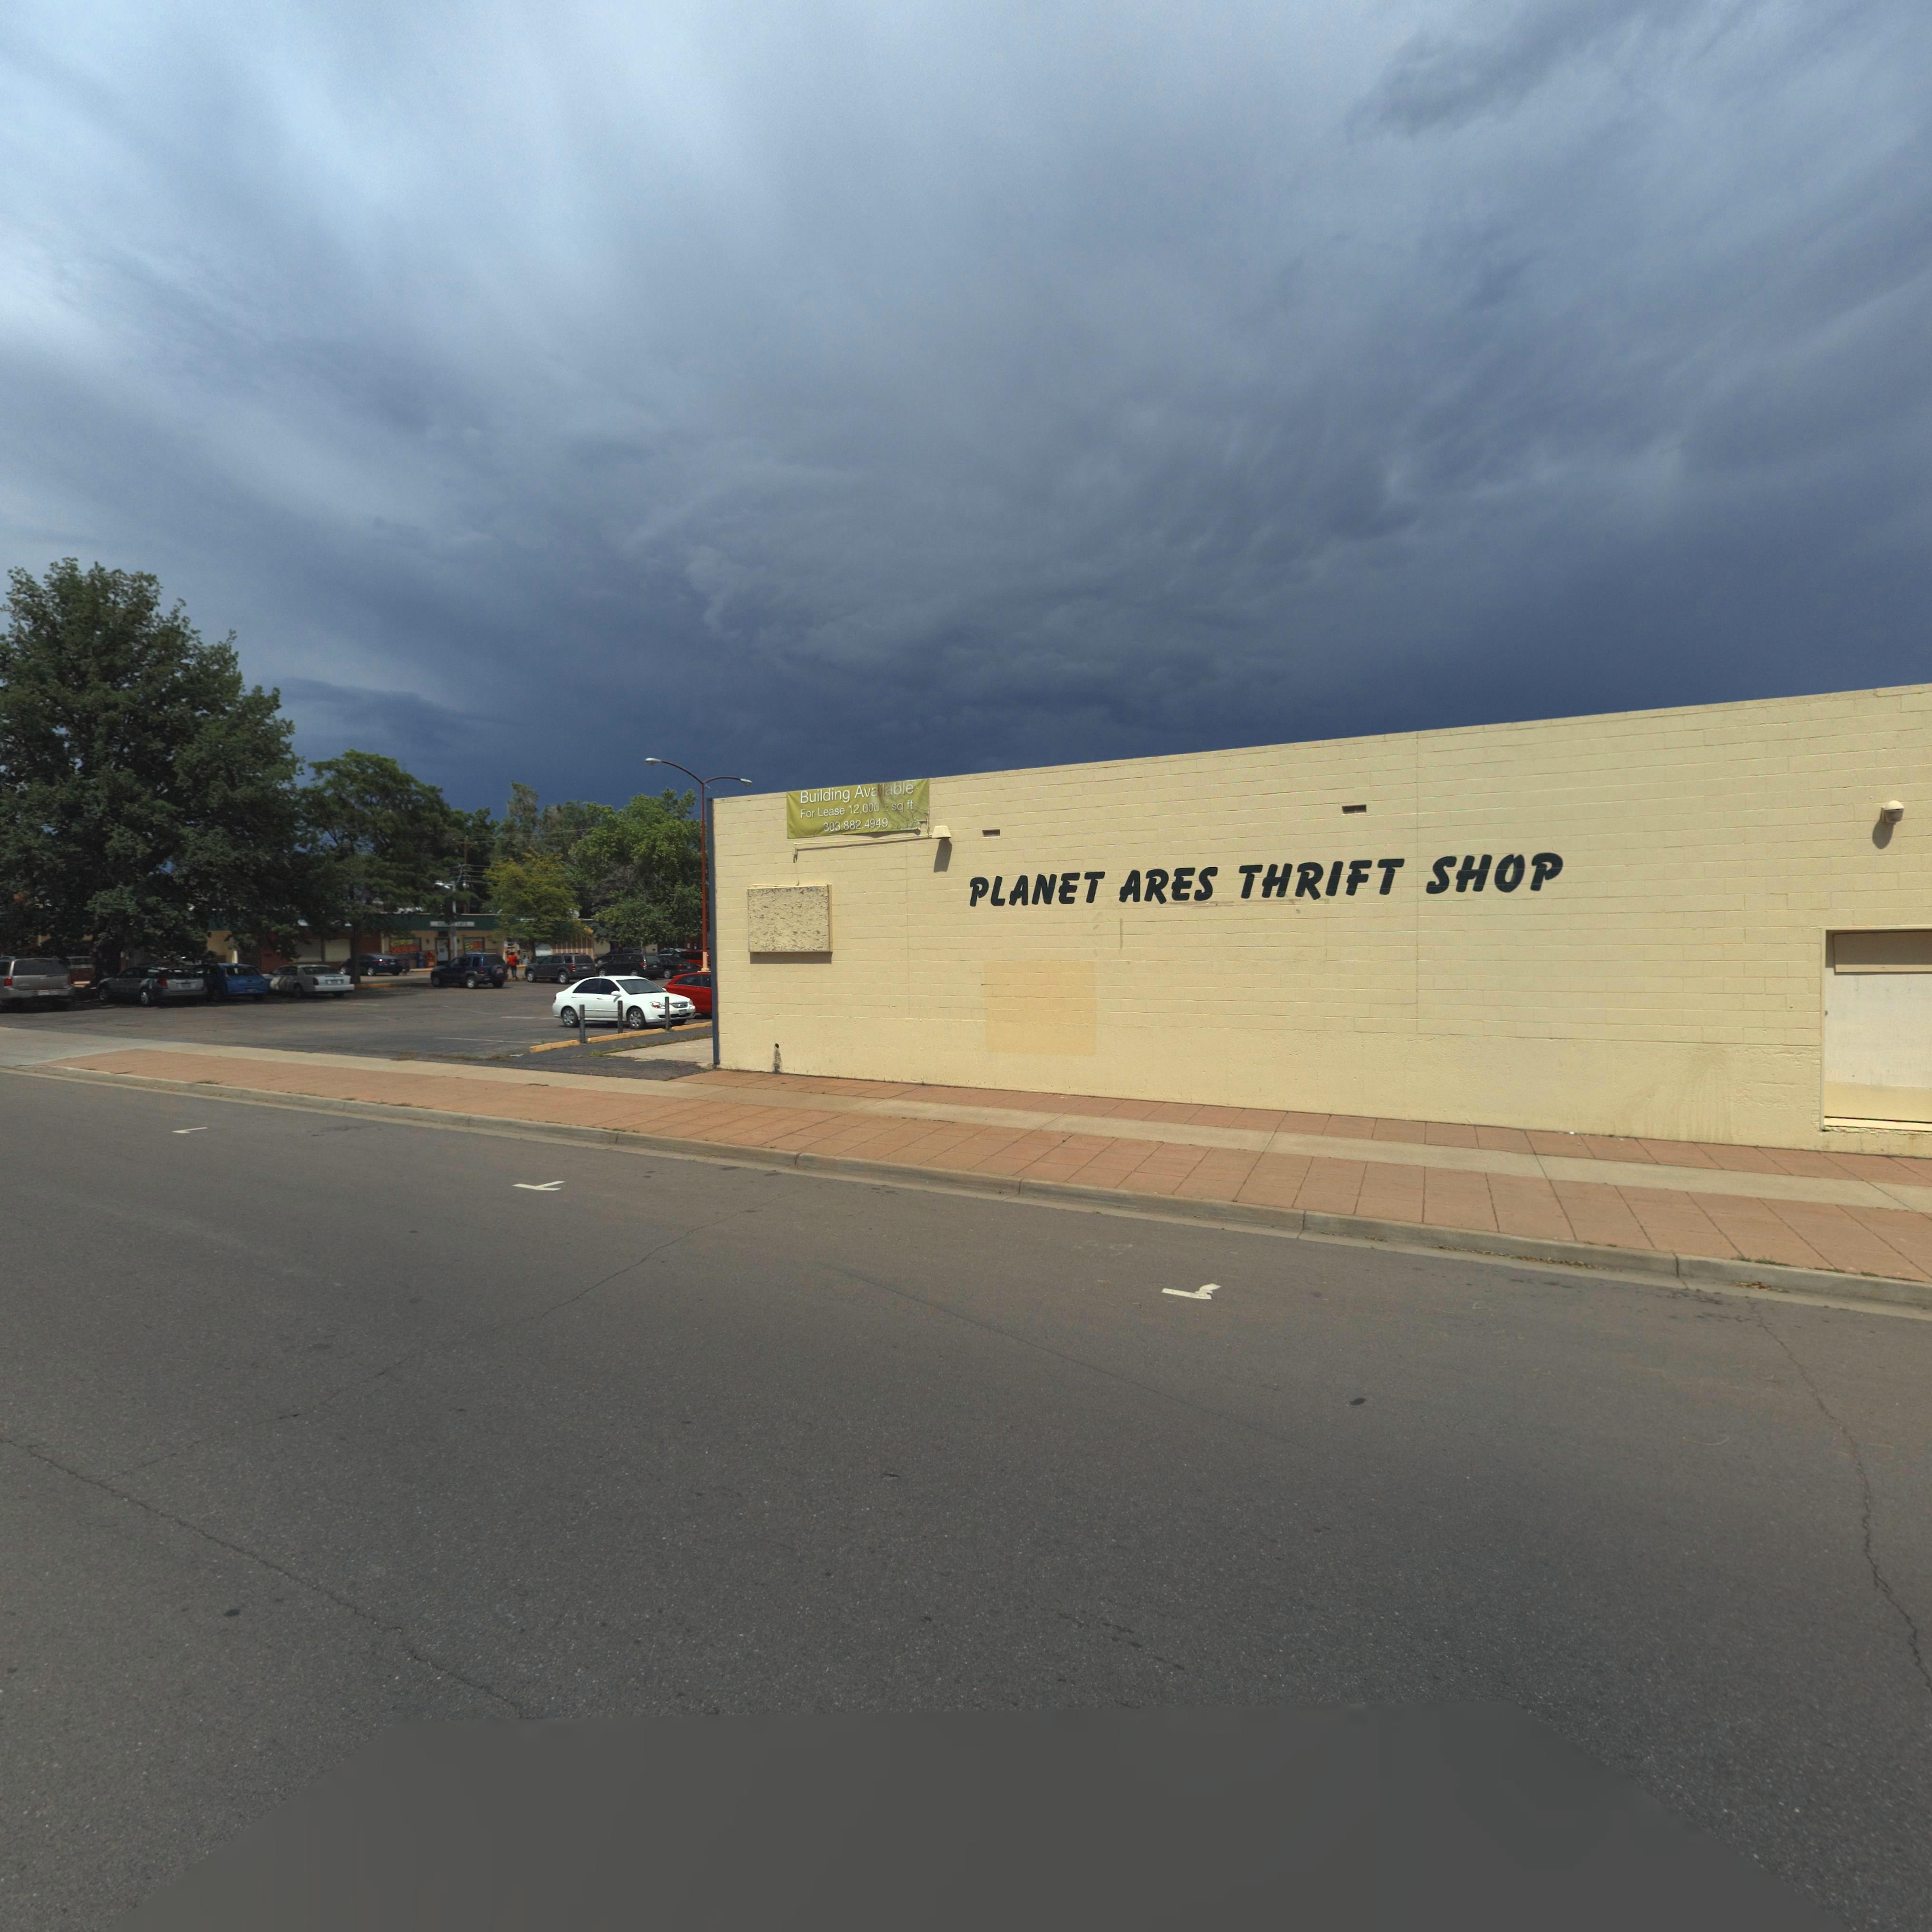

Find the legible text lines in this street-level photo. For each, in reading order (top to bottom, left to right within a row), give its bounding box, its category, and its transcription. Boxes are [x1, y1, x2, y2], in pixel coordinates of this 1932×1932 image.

[968, 850, 1565, 908] BusinessName: PLANET ARES THRIFT SHOP